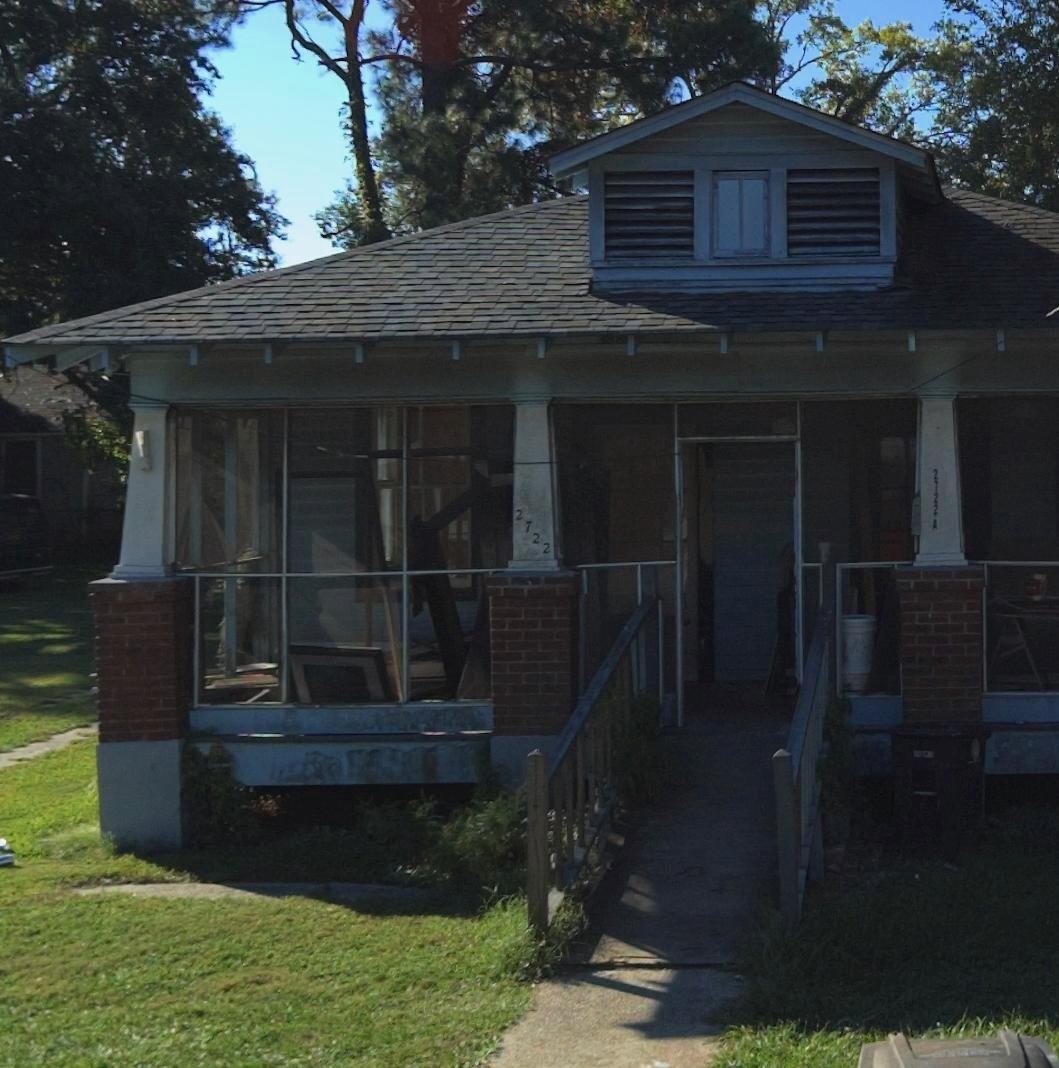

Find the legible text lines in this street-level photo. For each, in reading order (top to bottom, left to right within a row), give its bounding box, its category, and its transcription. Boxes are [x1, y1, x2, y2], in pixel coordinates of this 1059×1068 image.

[512, 506, 553, 556] StreetNumber: 2722
[929, 465, 941, 533] StreetNumber: 2722 A